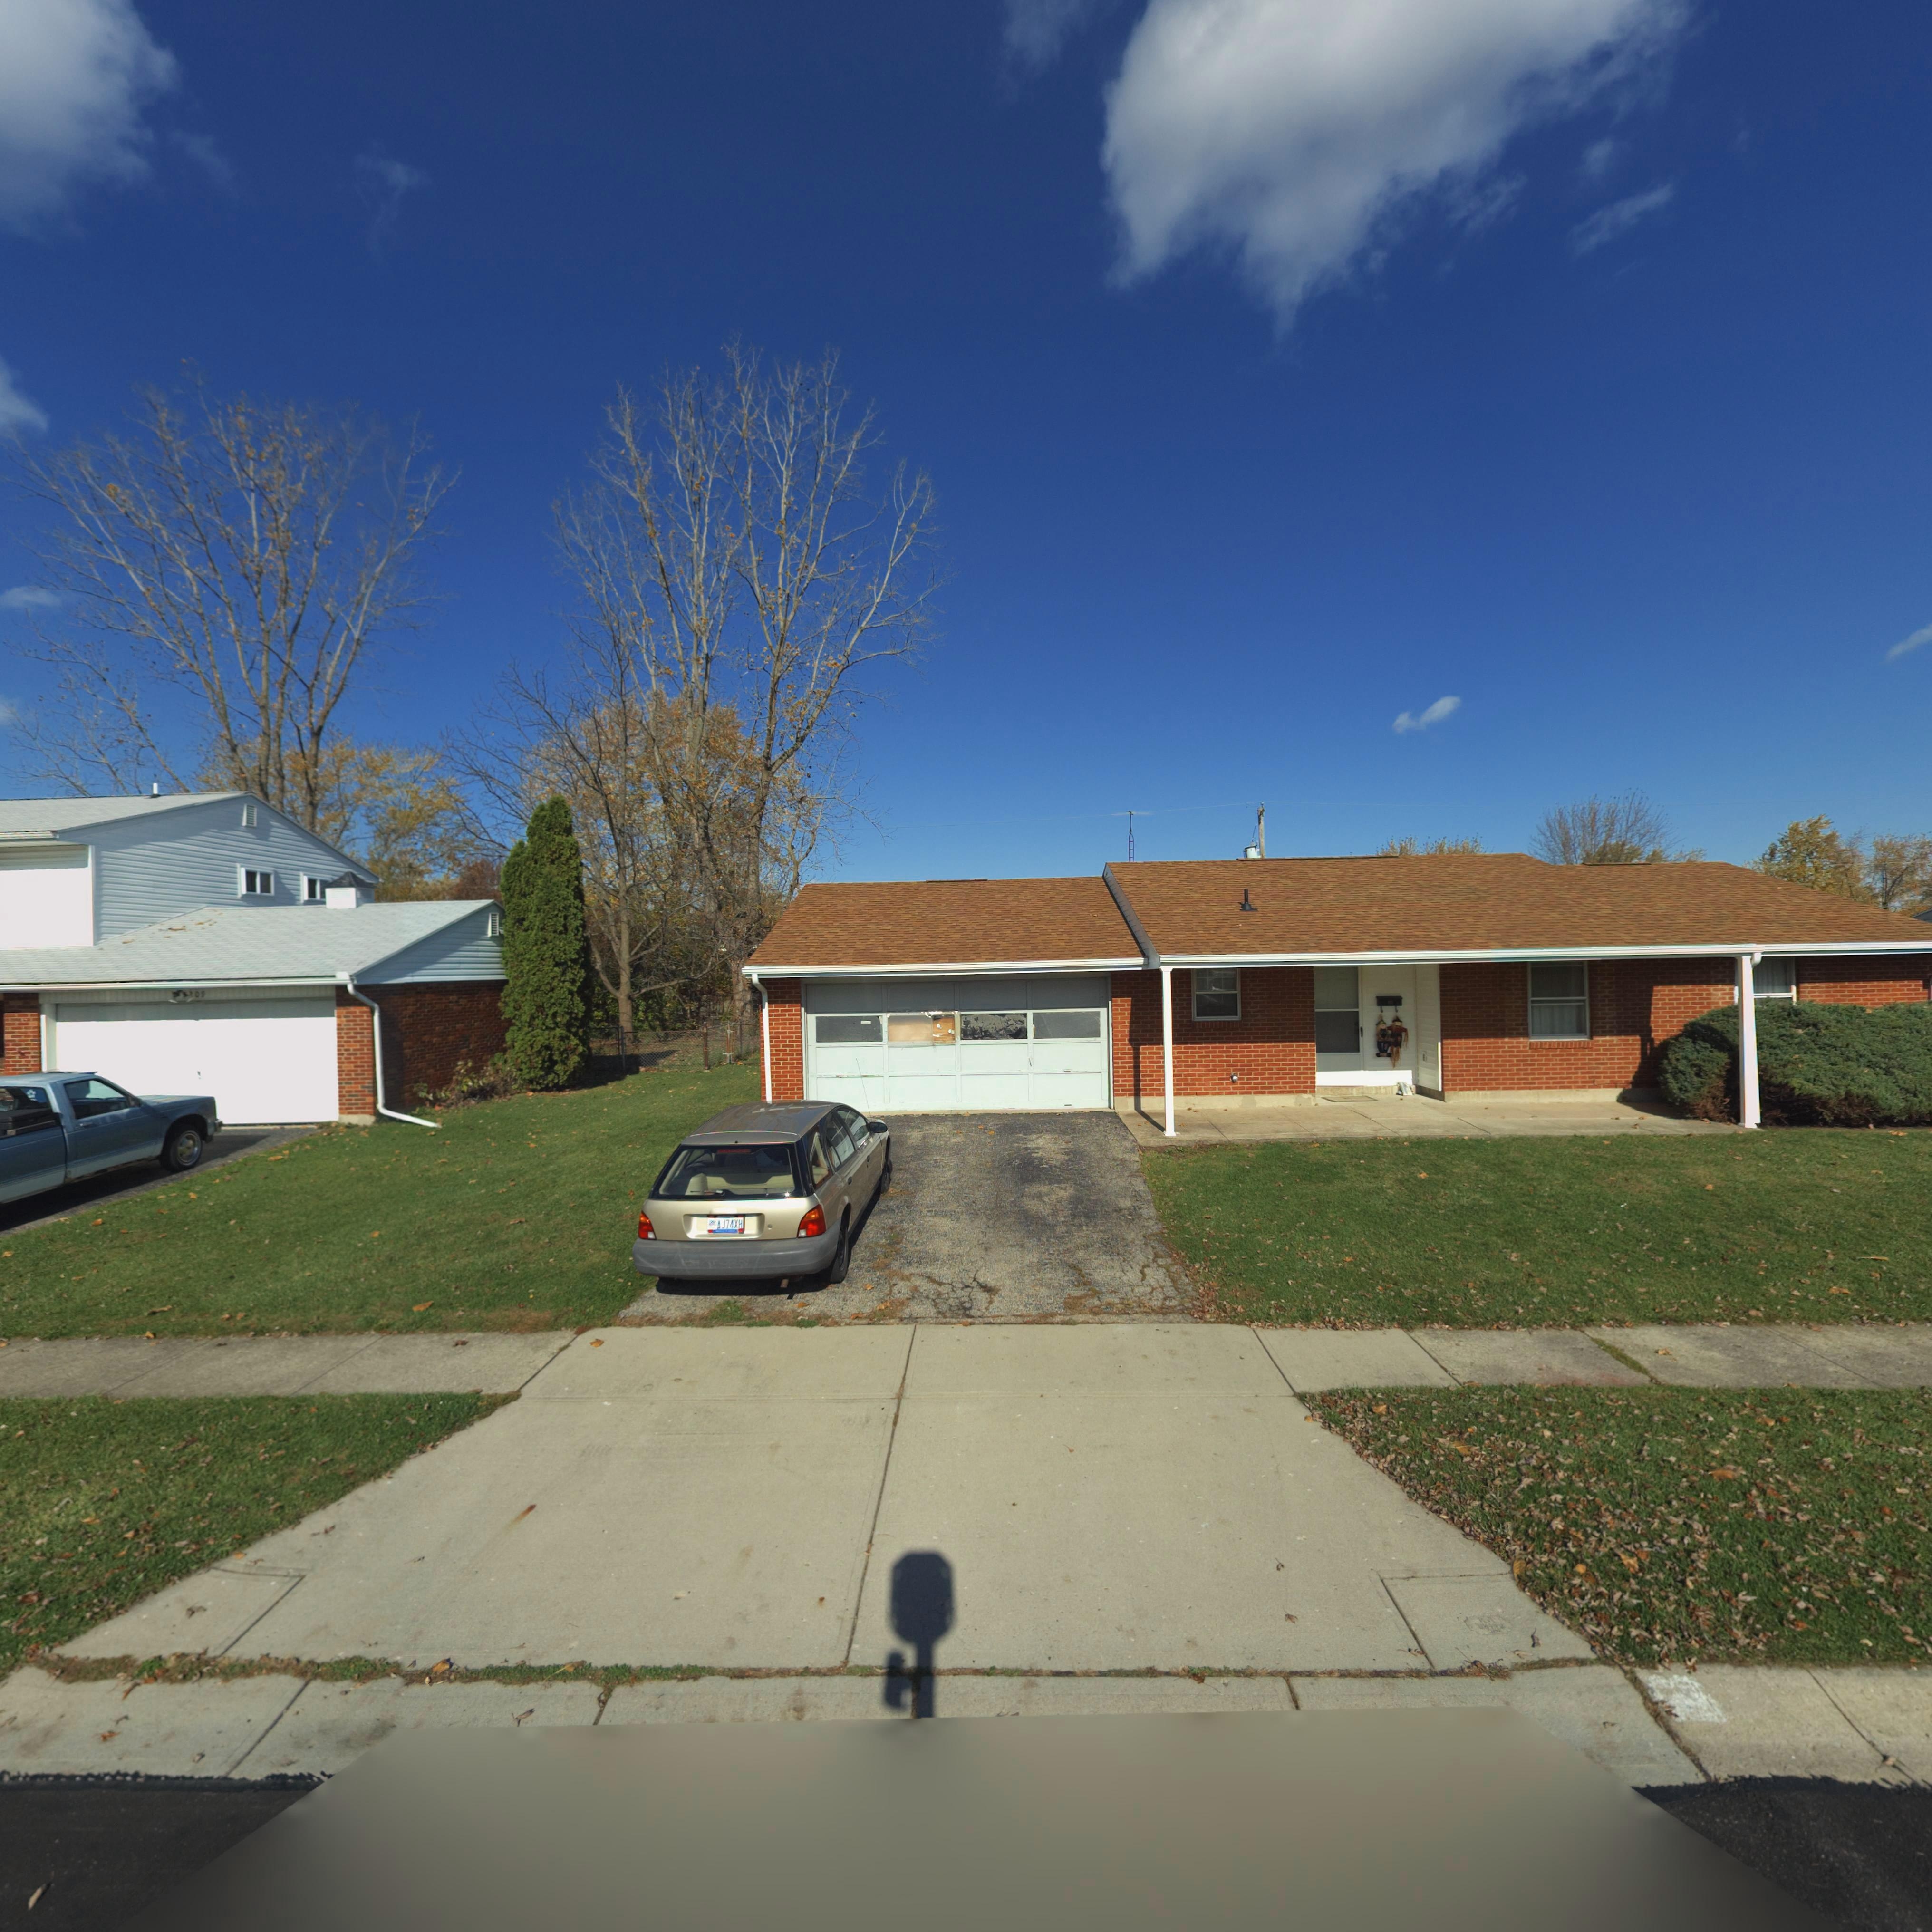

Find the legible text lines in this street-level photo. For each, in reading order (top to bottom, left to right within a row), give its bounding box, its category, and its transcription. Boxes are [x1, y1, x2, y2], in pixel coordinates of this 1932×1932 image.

[193, 989, 206, 1000] StreetNumber: 09